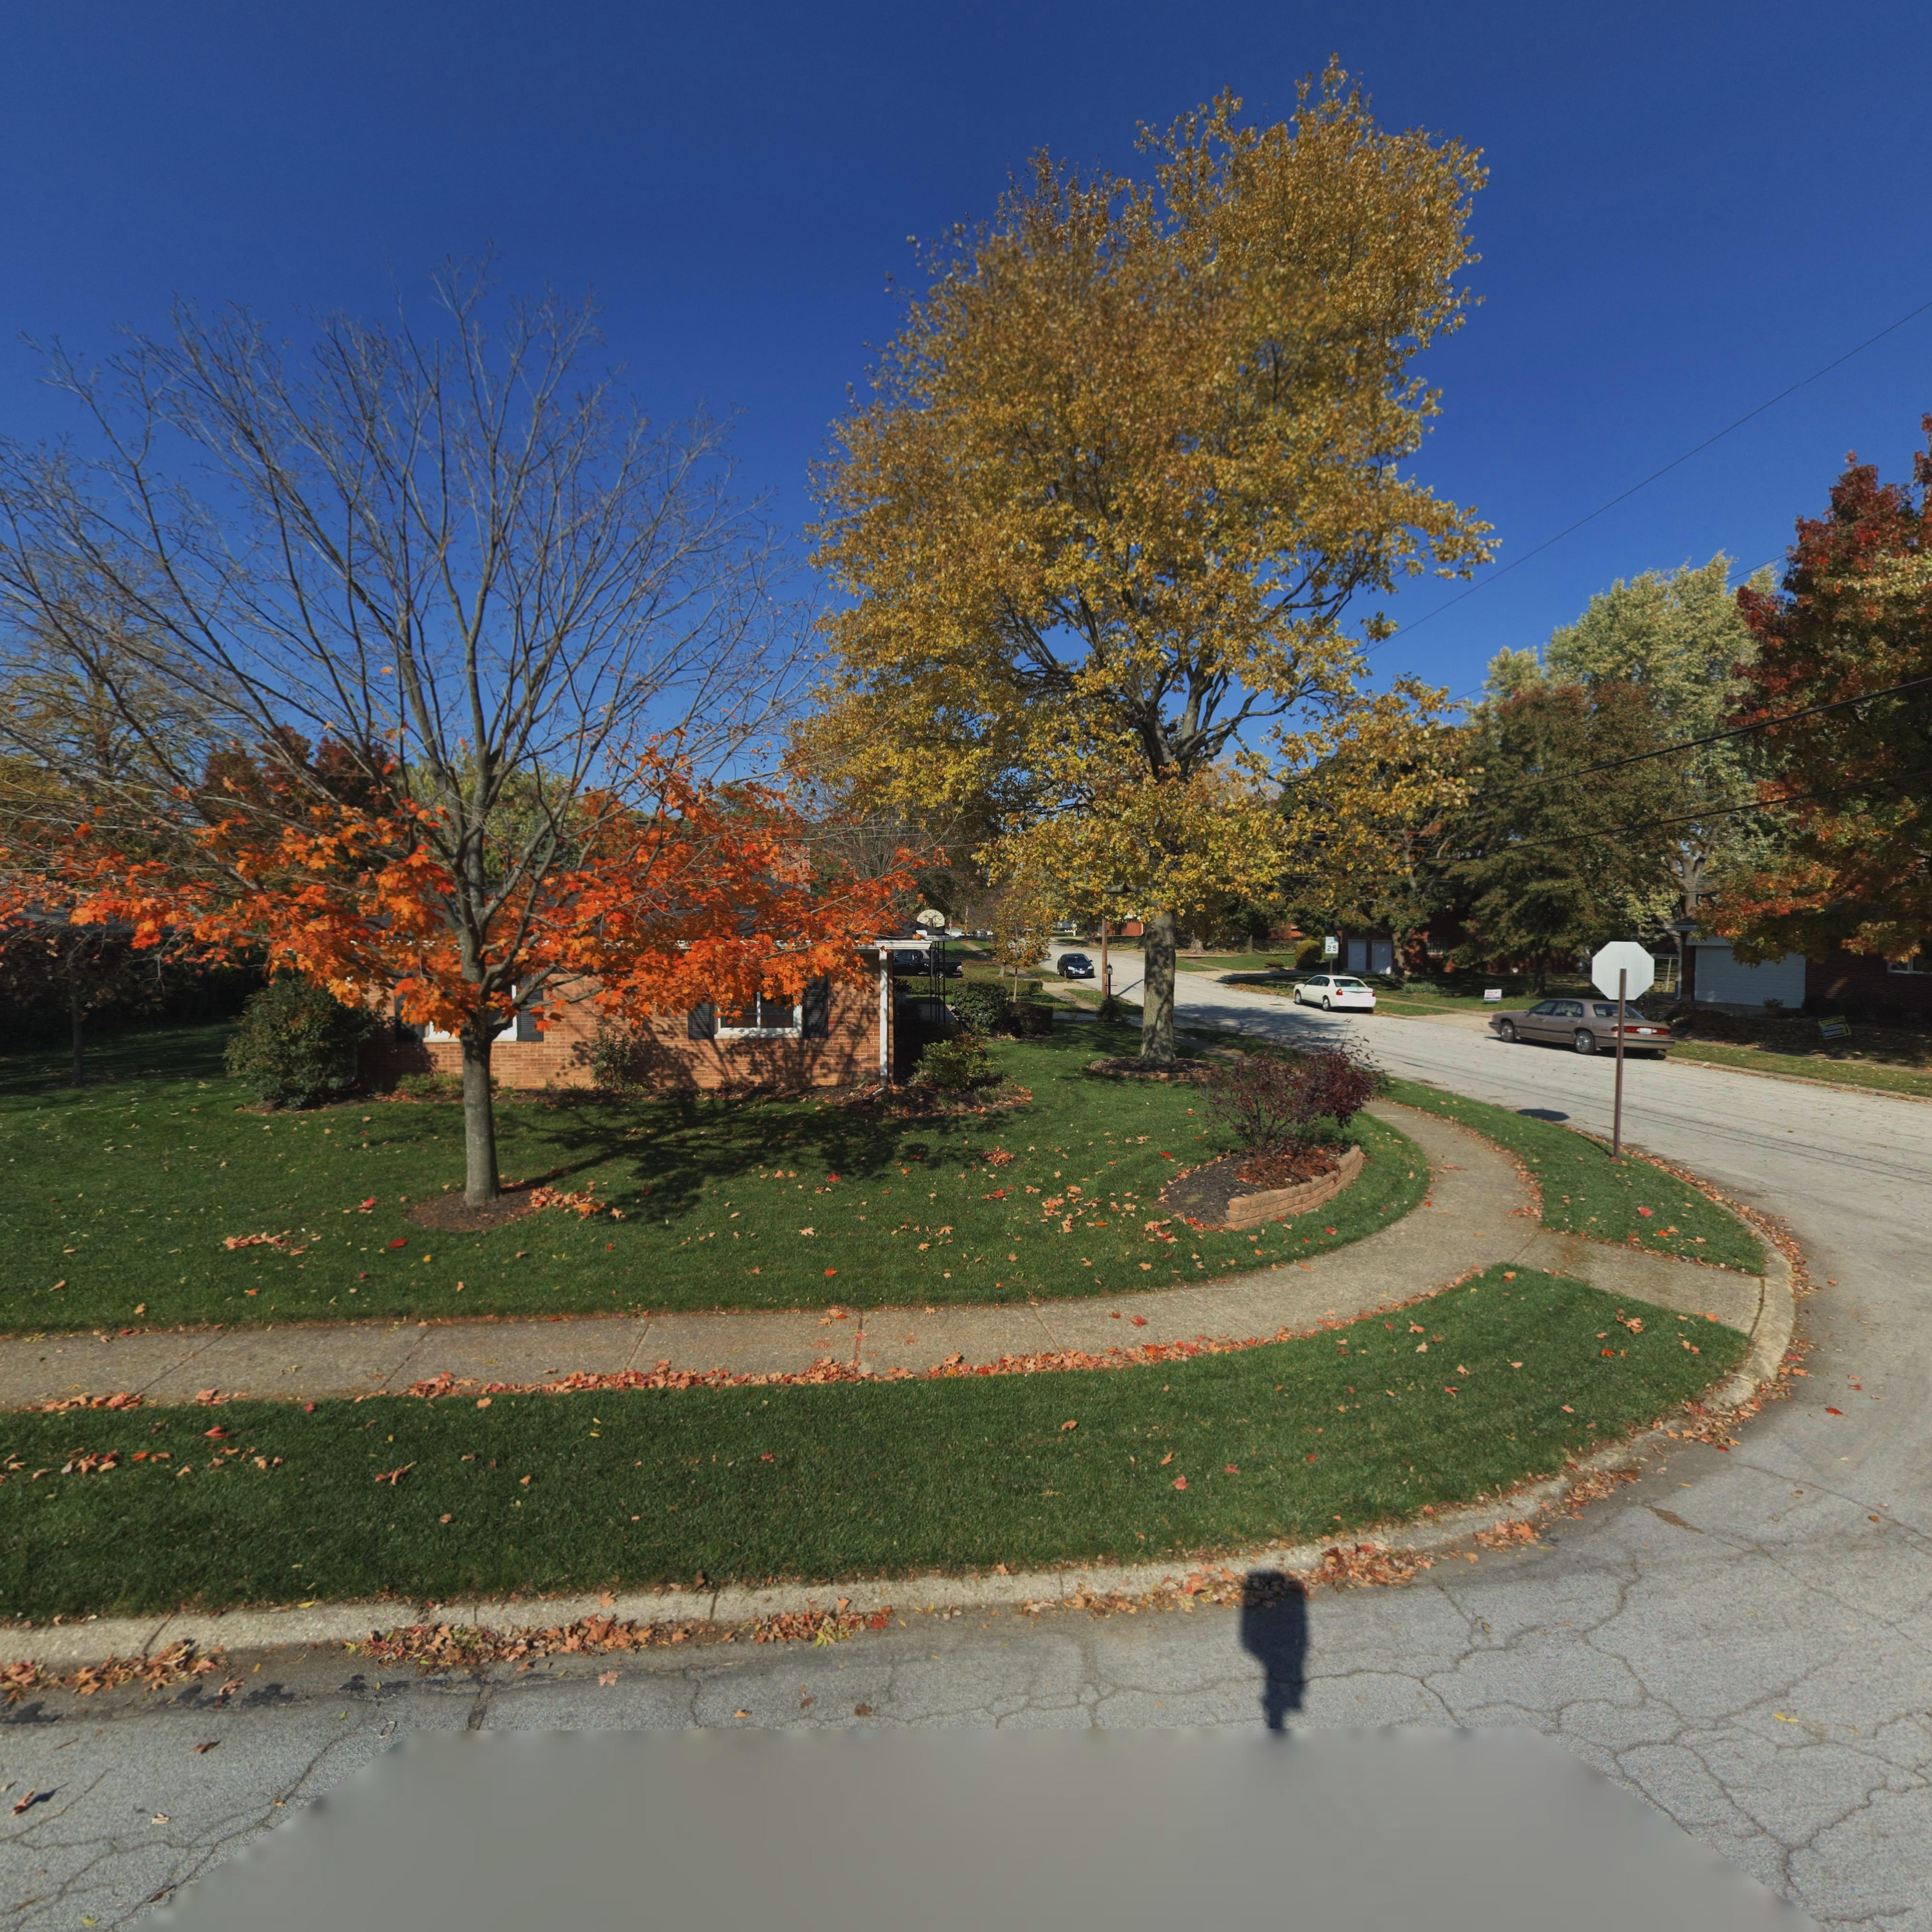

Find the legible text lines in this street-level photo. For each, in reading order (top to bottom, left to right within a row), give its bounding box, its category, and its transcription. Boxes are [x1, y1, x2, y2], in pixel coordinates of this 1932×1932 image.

[1326, 944, 1338, 952] None: 25